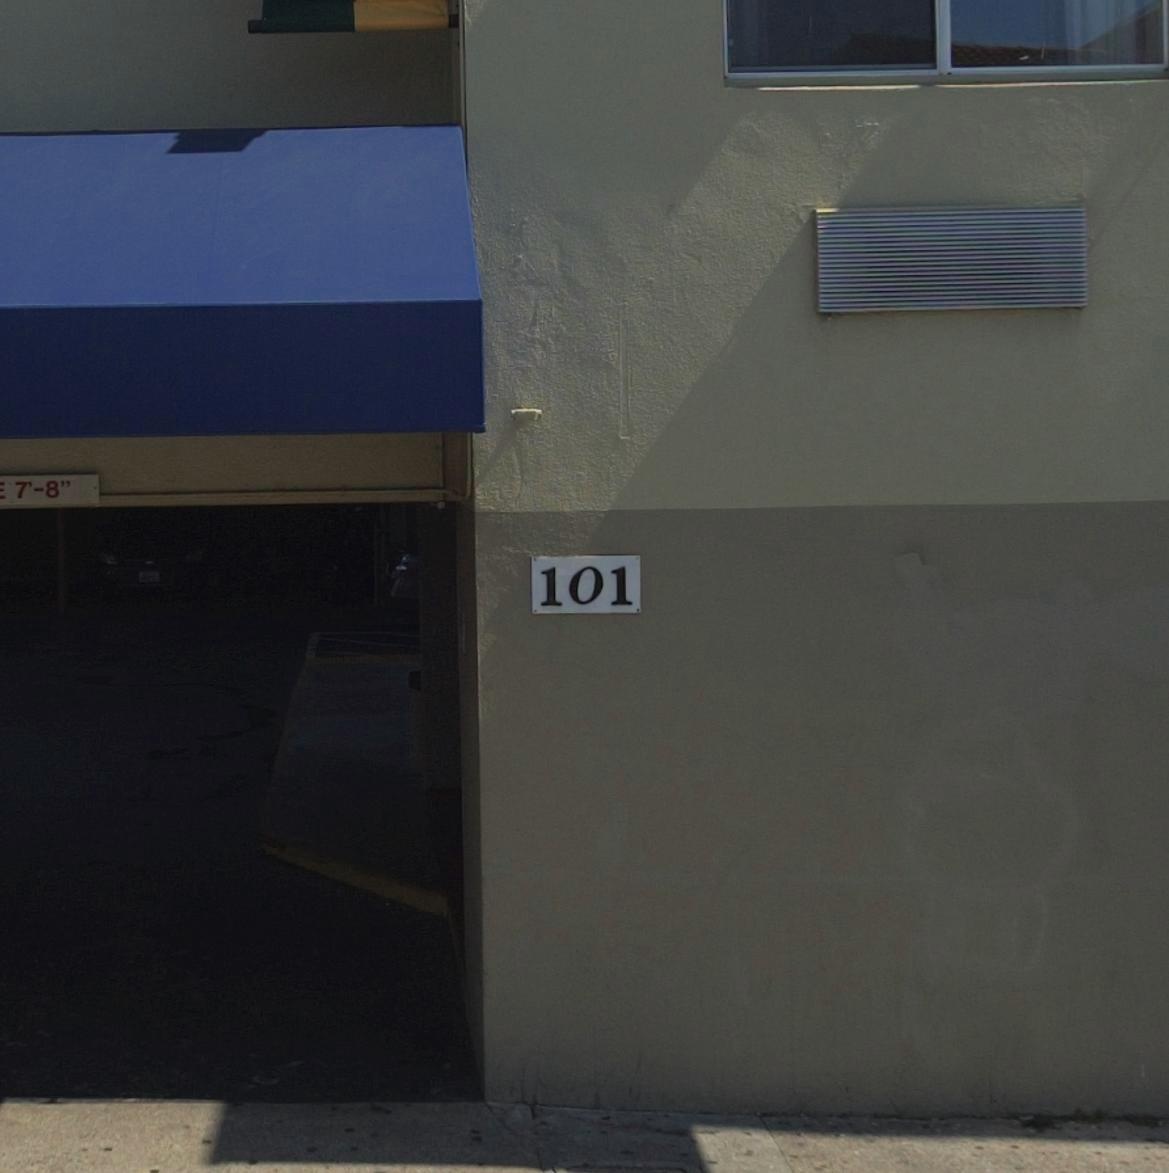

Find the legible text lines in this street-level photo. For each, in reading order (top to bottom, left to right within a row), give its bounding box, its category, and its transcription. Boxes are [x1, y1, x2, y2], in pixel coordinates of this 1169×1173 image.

[14, 479, 71, 500] None: 7'-8"
[540, 565, 634, 608] StreetNumber: 101